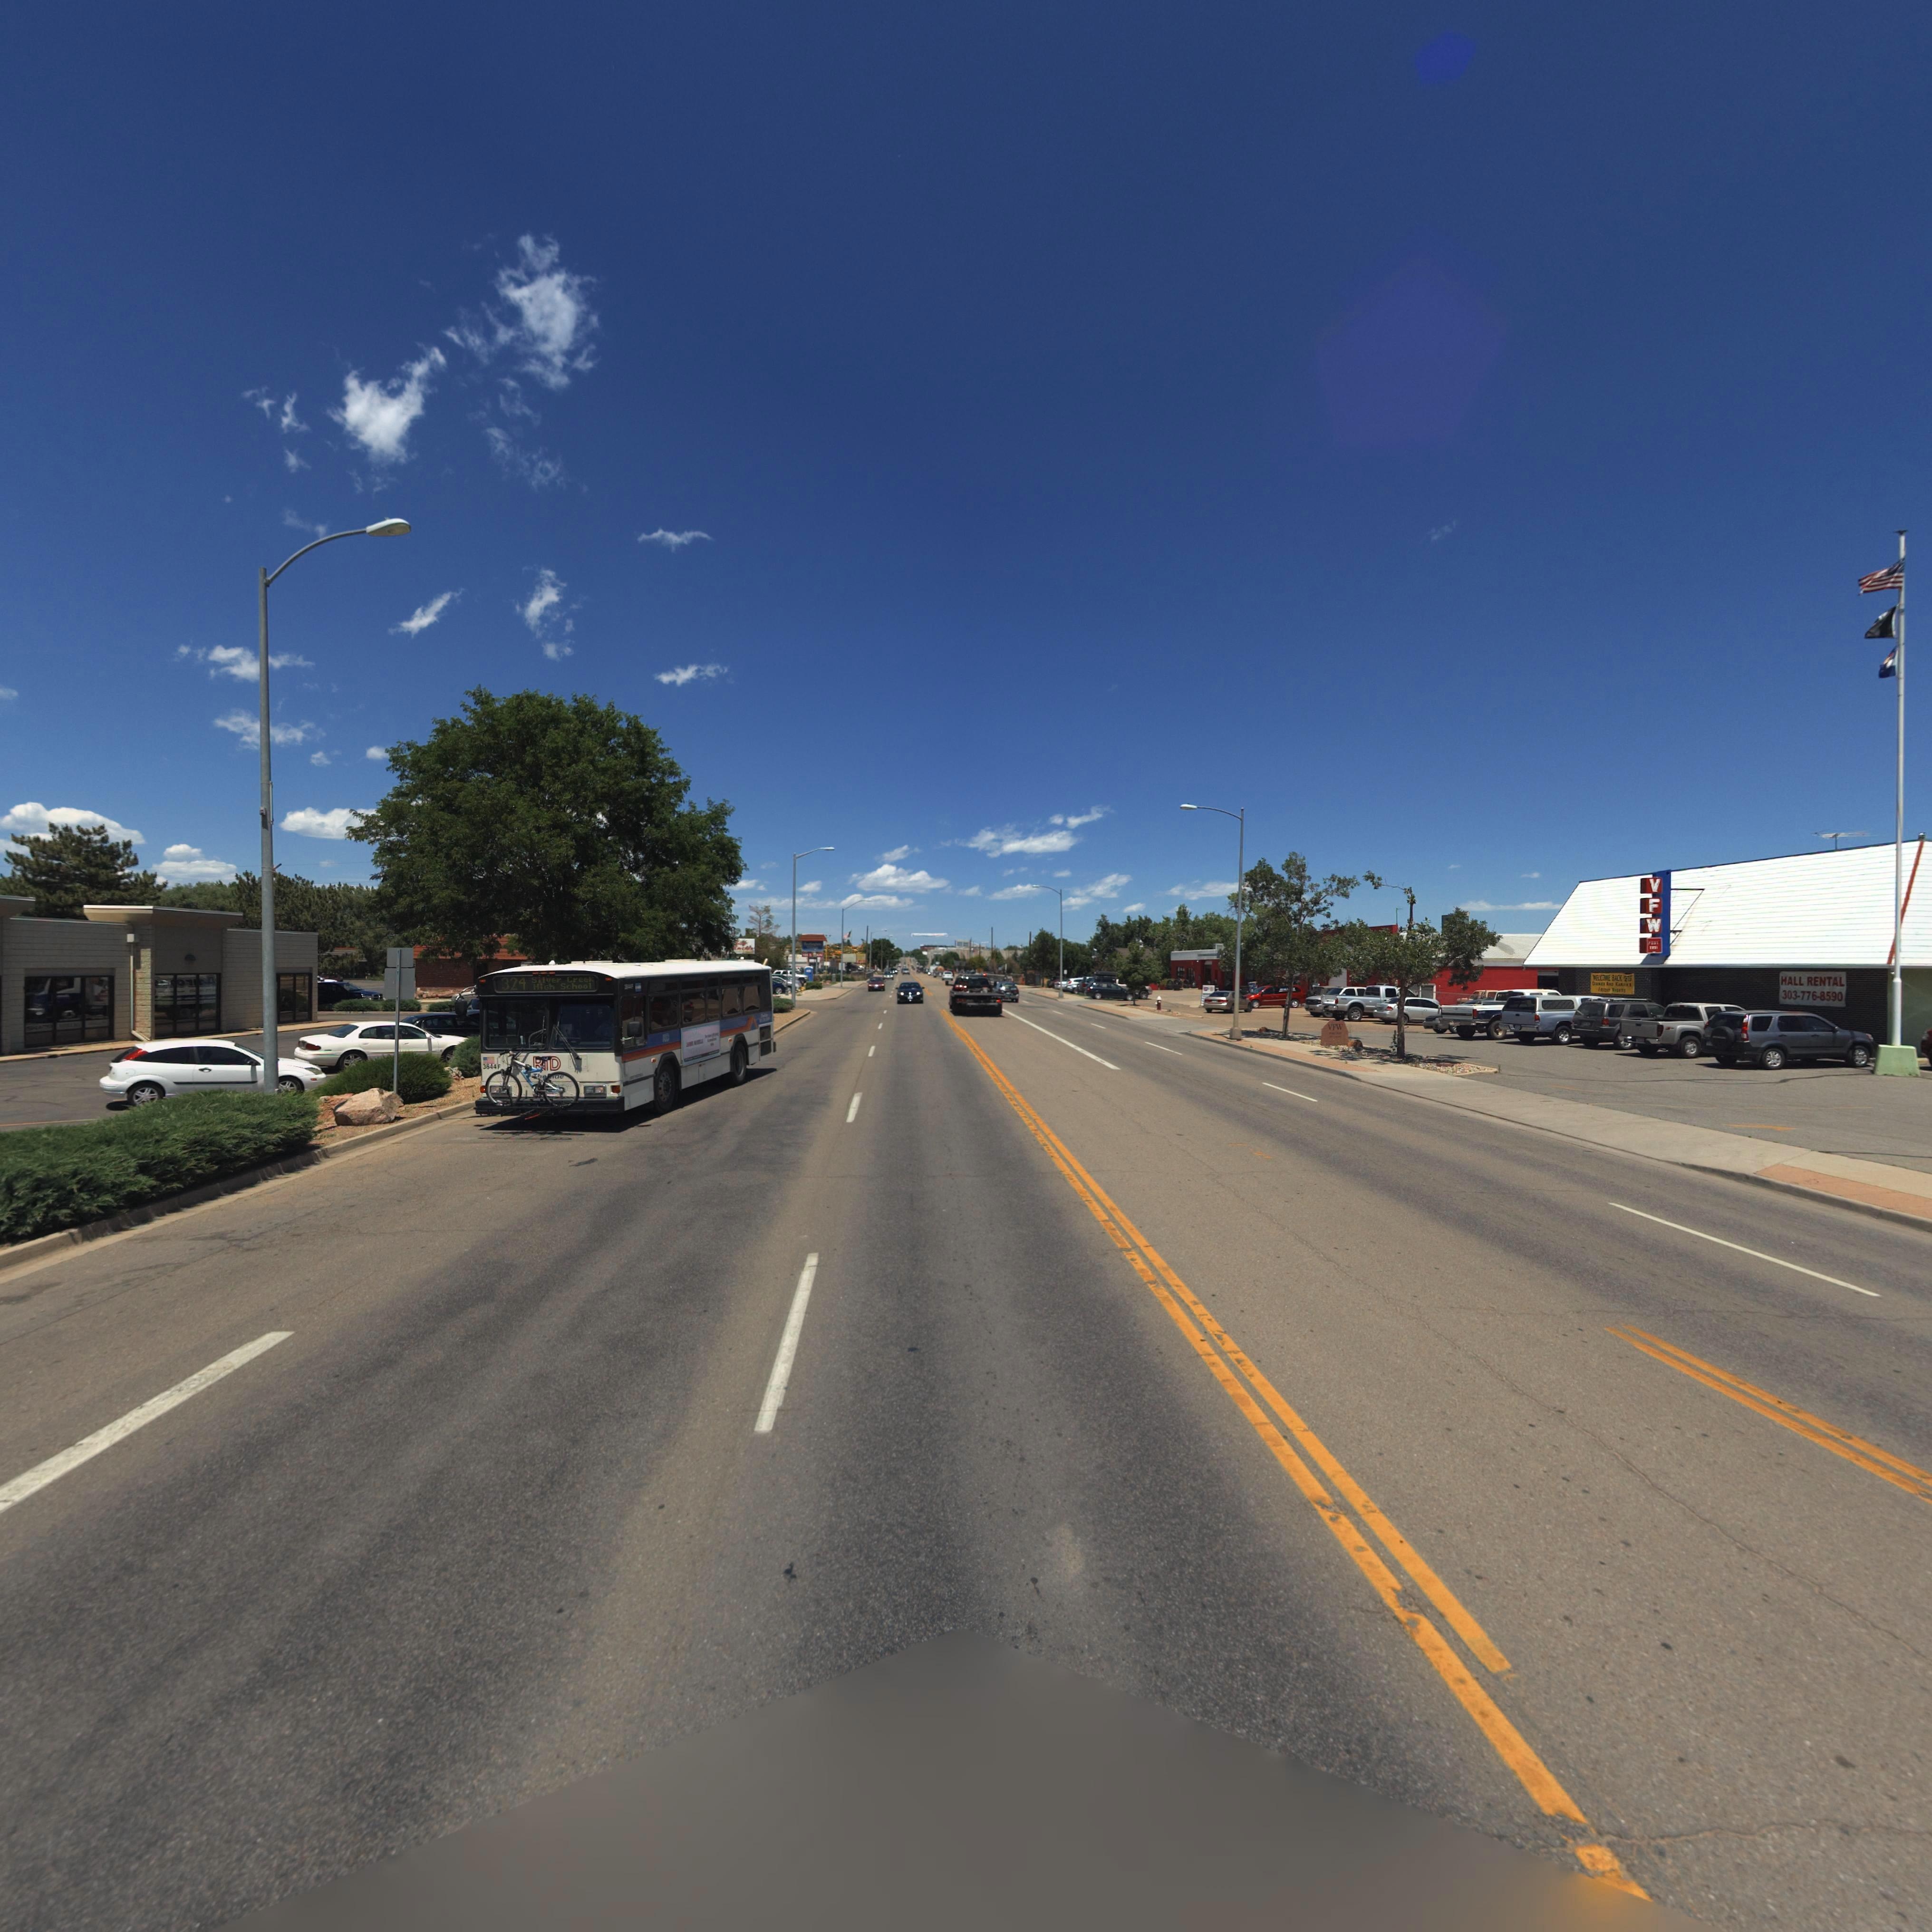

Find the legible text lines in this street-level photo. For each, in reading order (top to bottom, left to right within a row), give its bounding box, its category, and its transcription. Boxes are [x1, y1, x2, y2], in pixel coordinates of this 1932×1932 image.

[1645, 878, 1661, 933] BusinessName: VFW
[1327, 1023, 1343, 1030] BusinessName: VFW